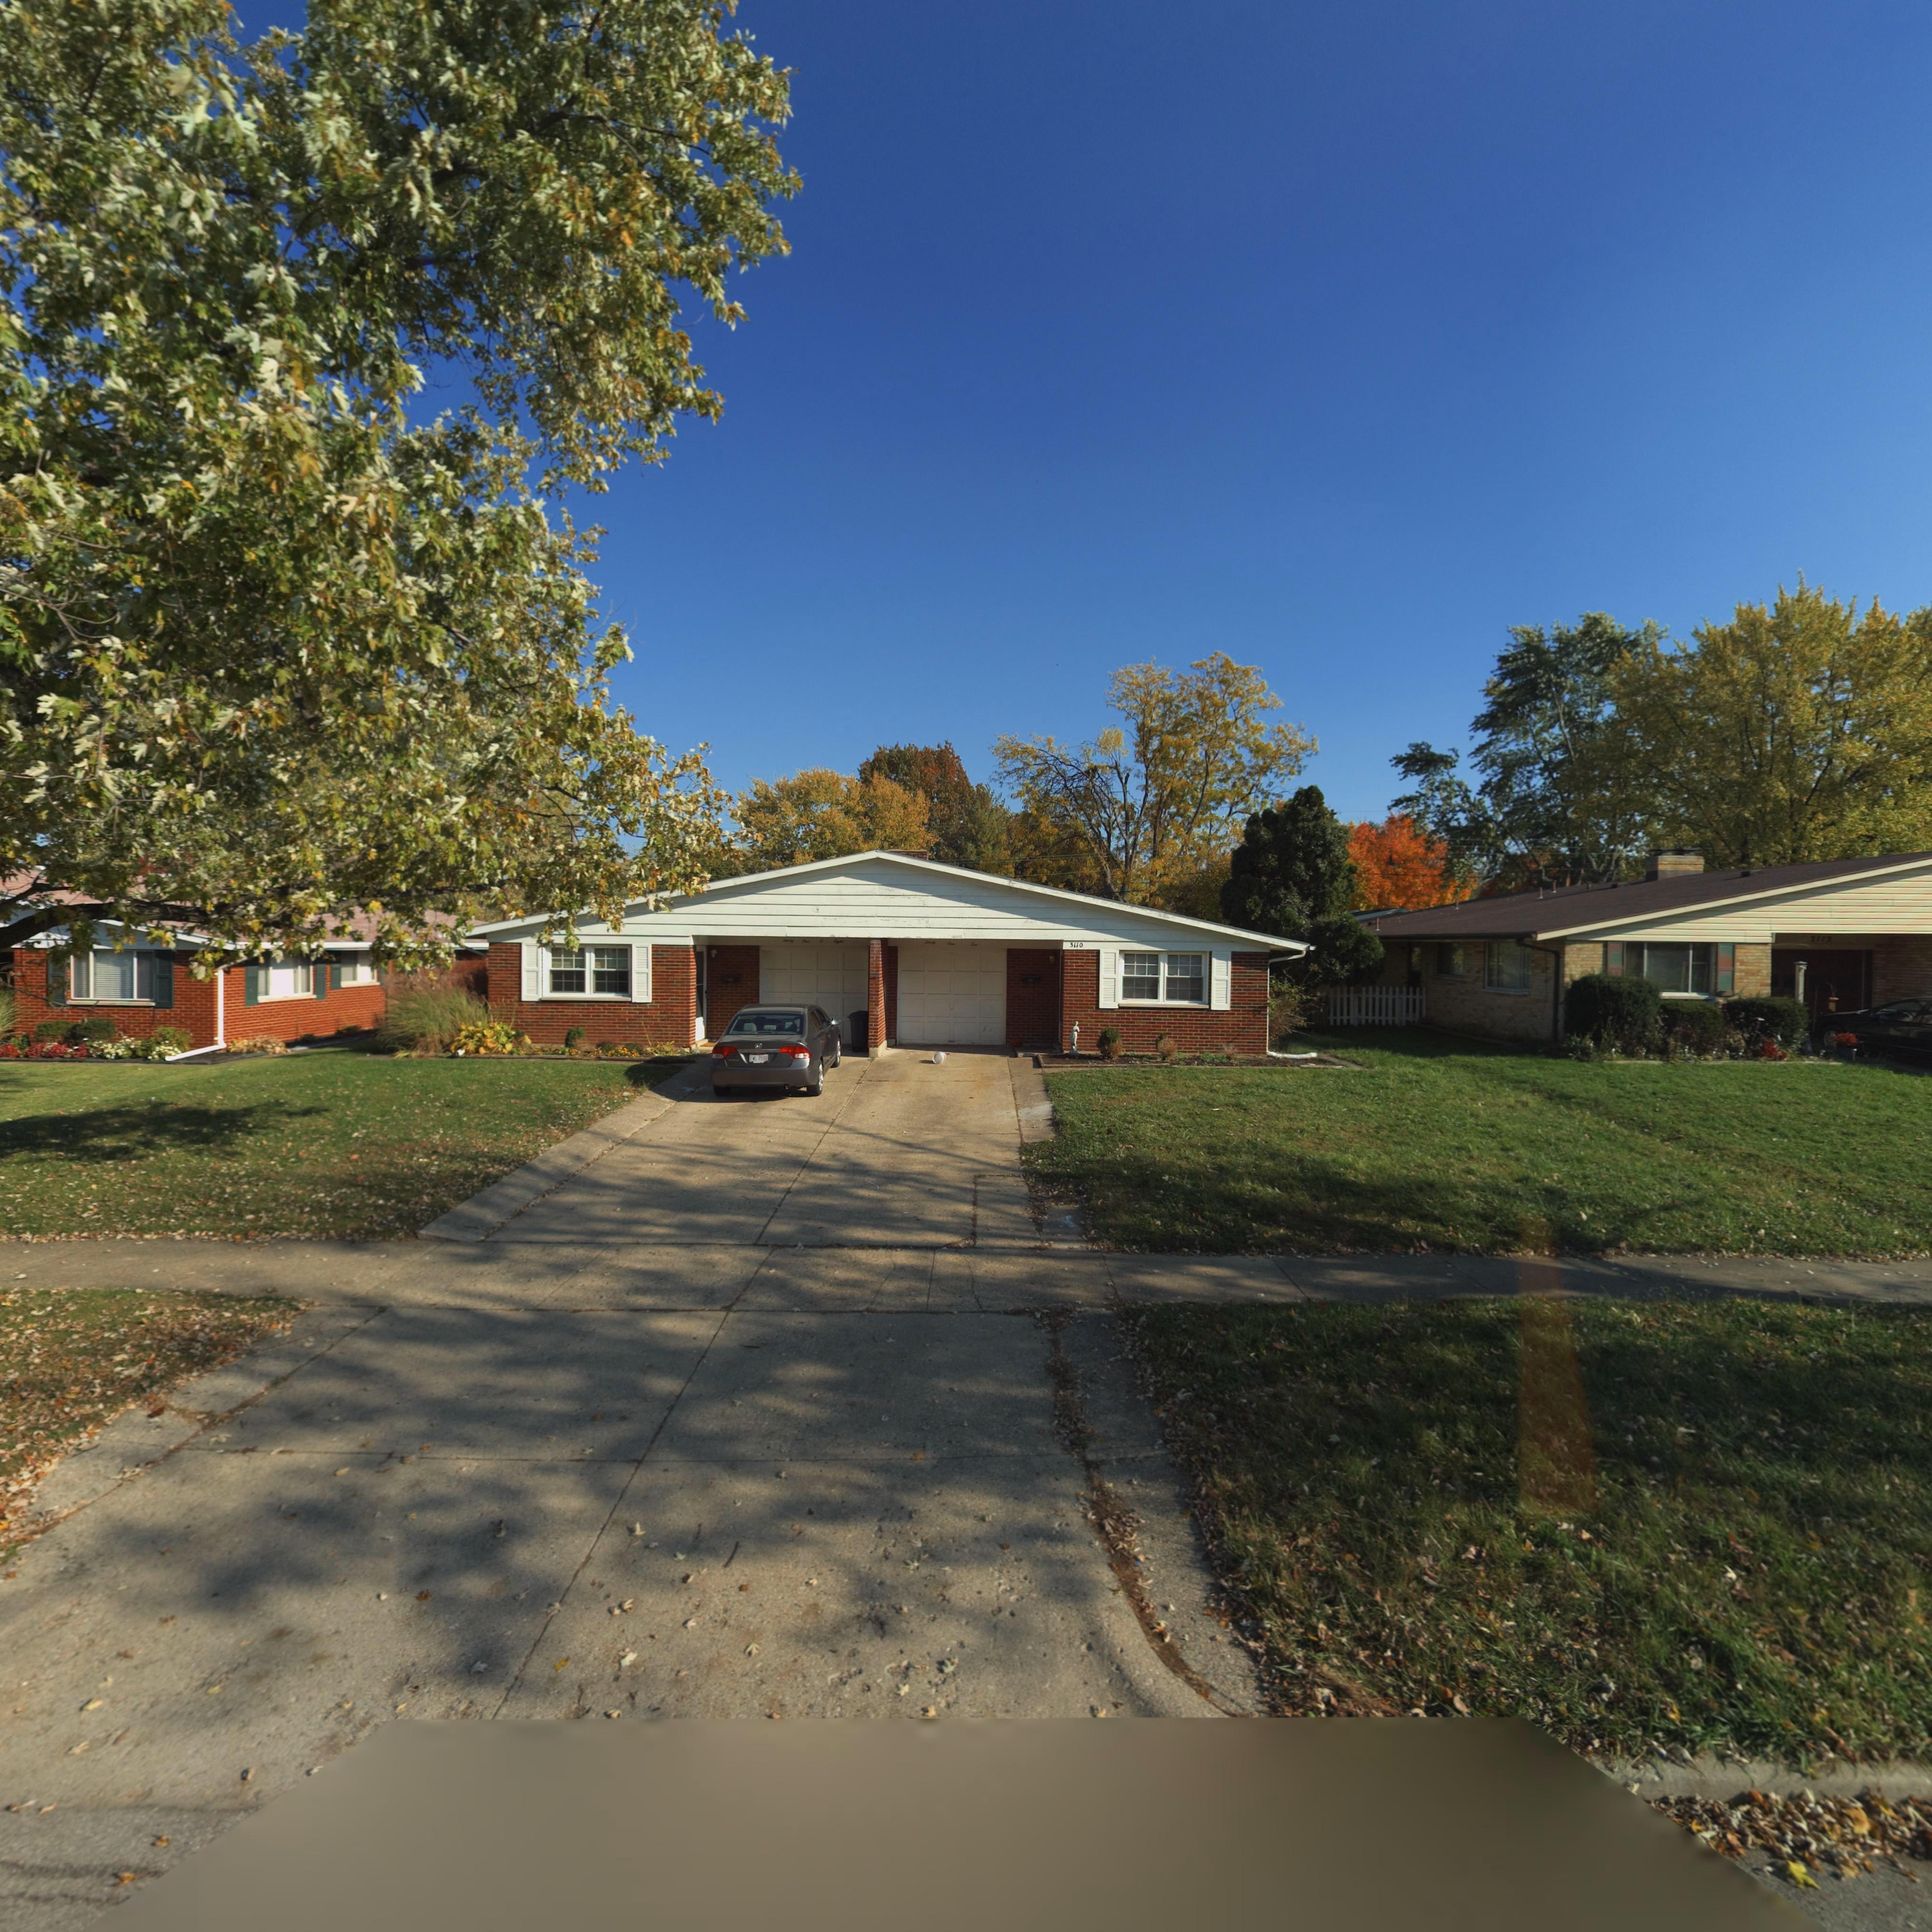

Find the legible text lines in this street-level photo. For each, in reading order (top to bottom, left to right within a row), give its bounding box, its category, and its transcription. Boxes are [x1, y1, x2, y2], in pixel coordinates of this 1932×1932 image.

[1809, 934, 1831, 943] StreetNumber: 3112
[1069, 941, 1083, 947] StreetNumber: 3110